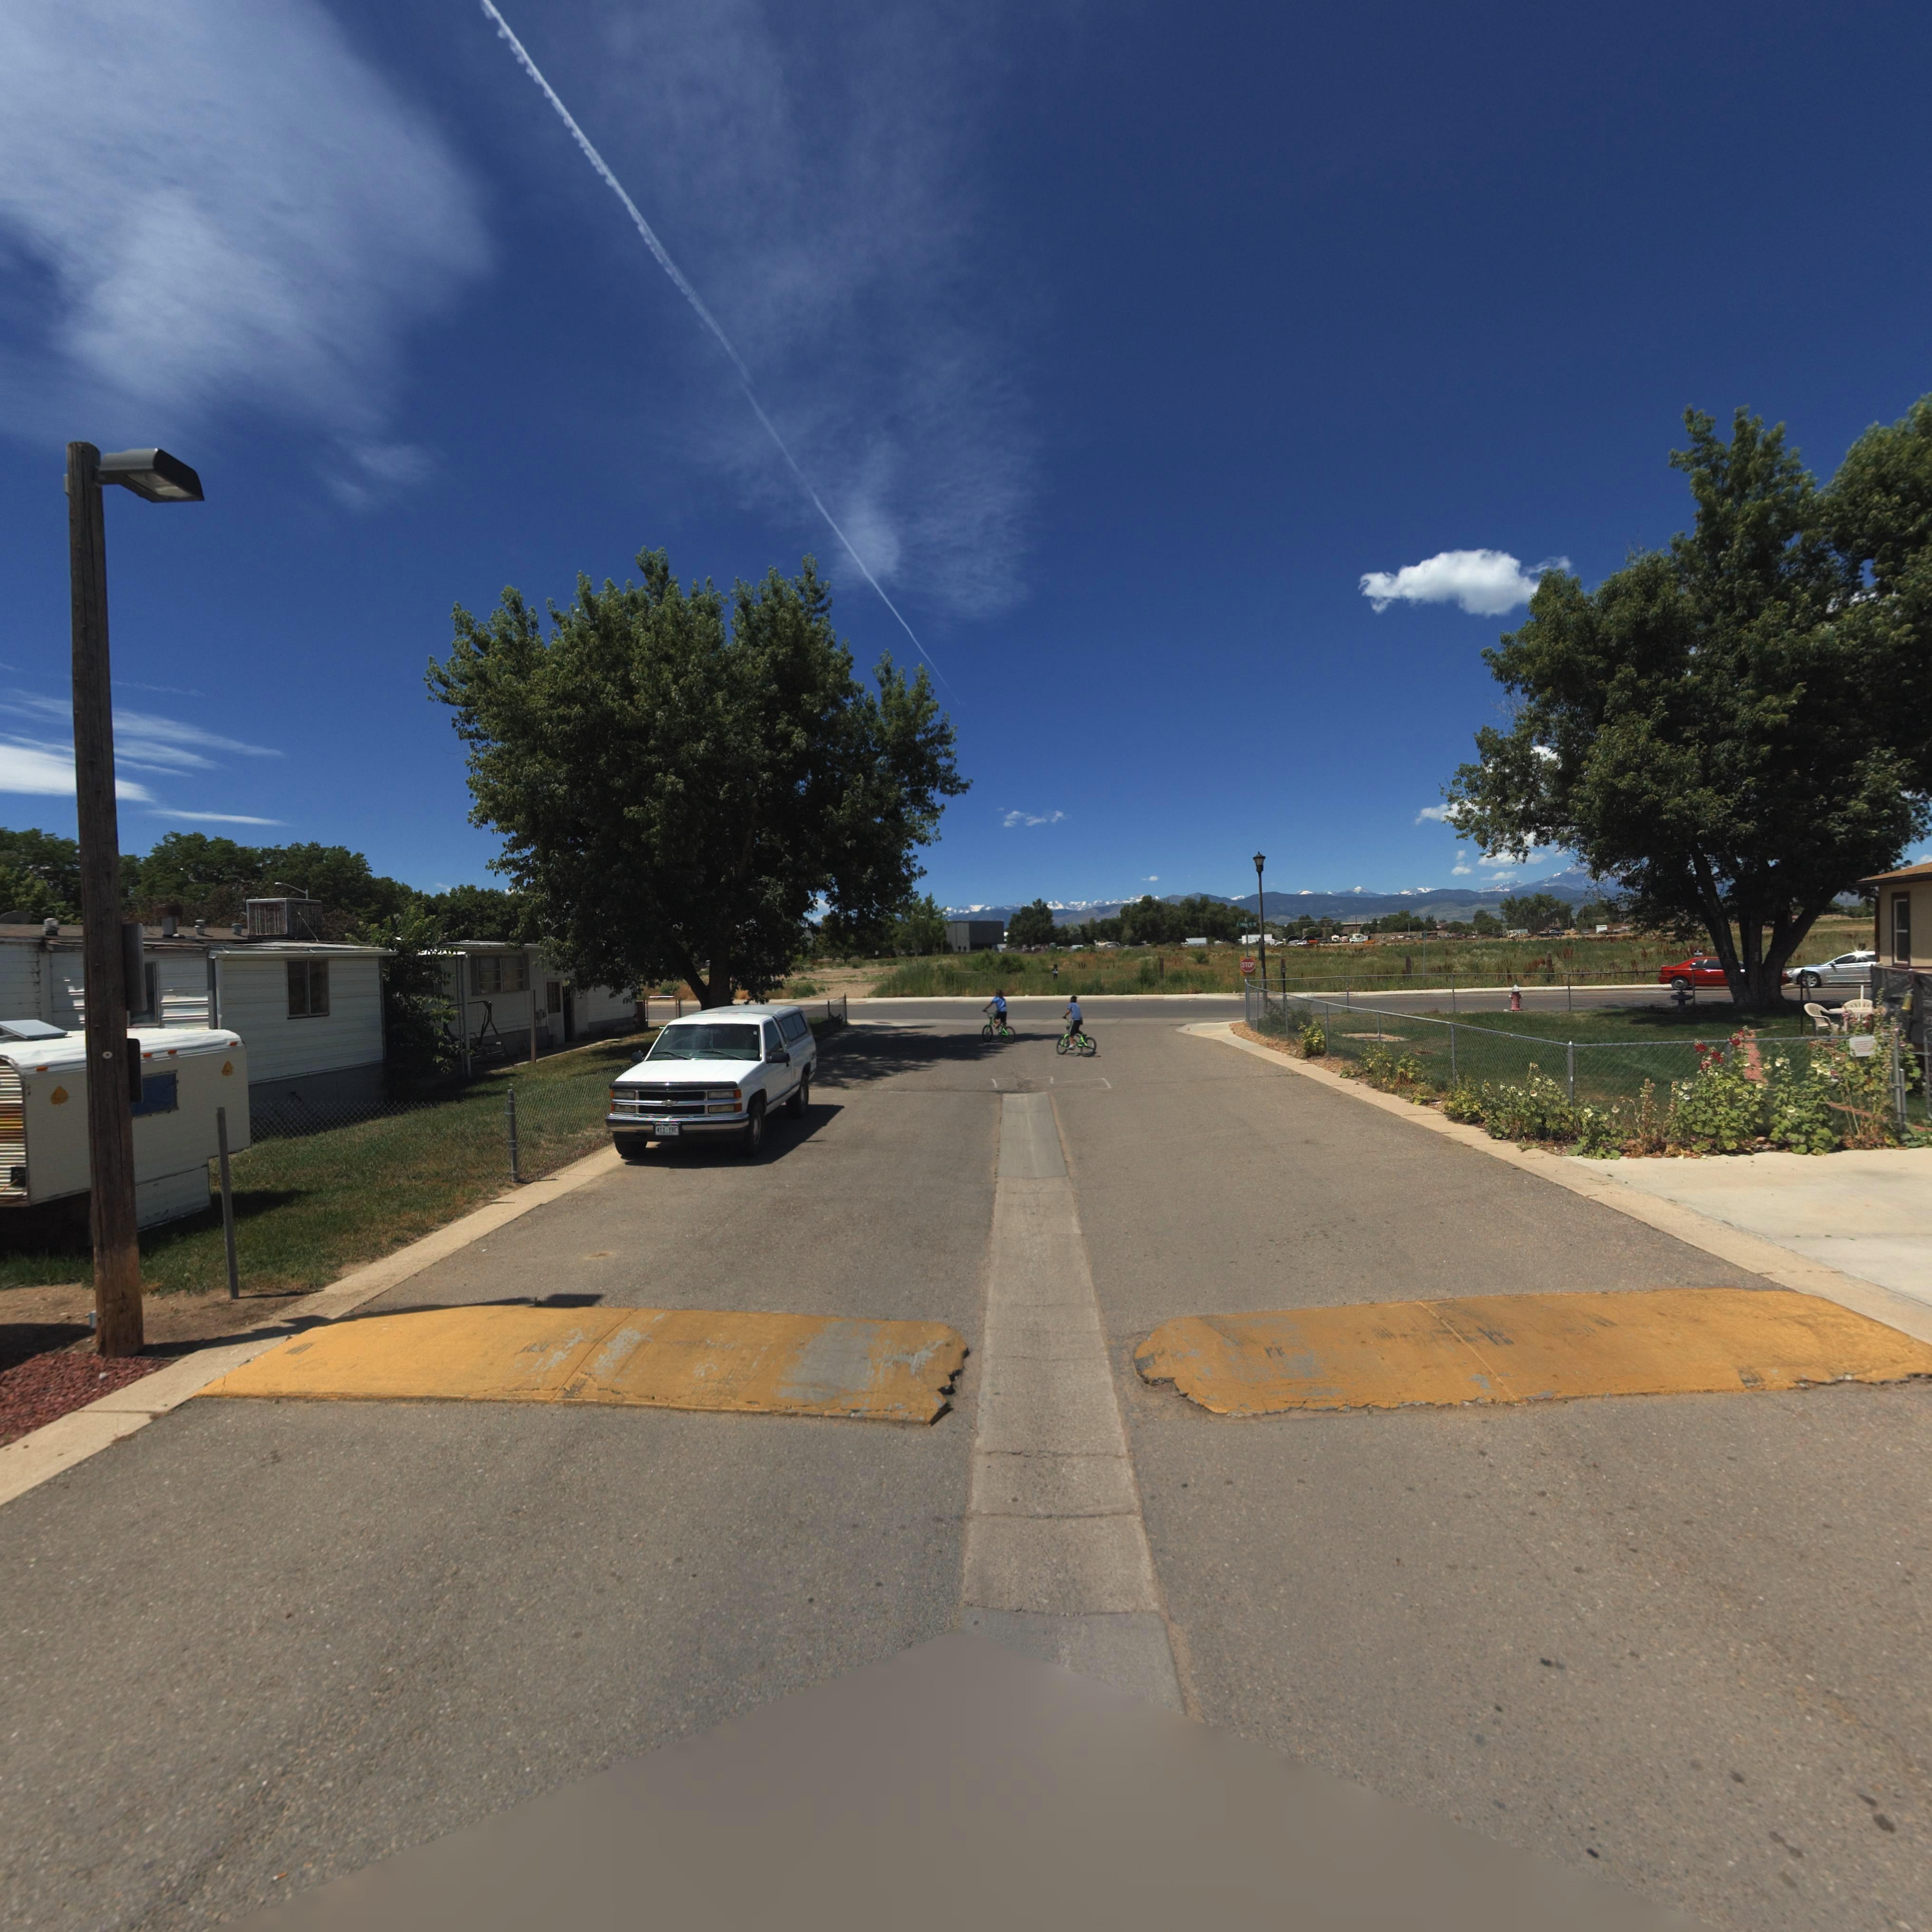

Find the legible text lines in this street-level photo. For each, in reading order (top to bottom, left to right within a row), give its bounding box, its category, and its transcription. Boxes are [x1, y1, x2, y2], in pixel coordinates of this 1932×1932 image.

[1236, 922, 1256, 926] StreetName: S FRANCIS ST